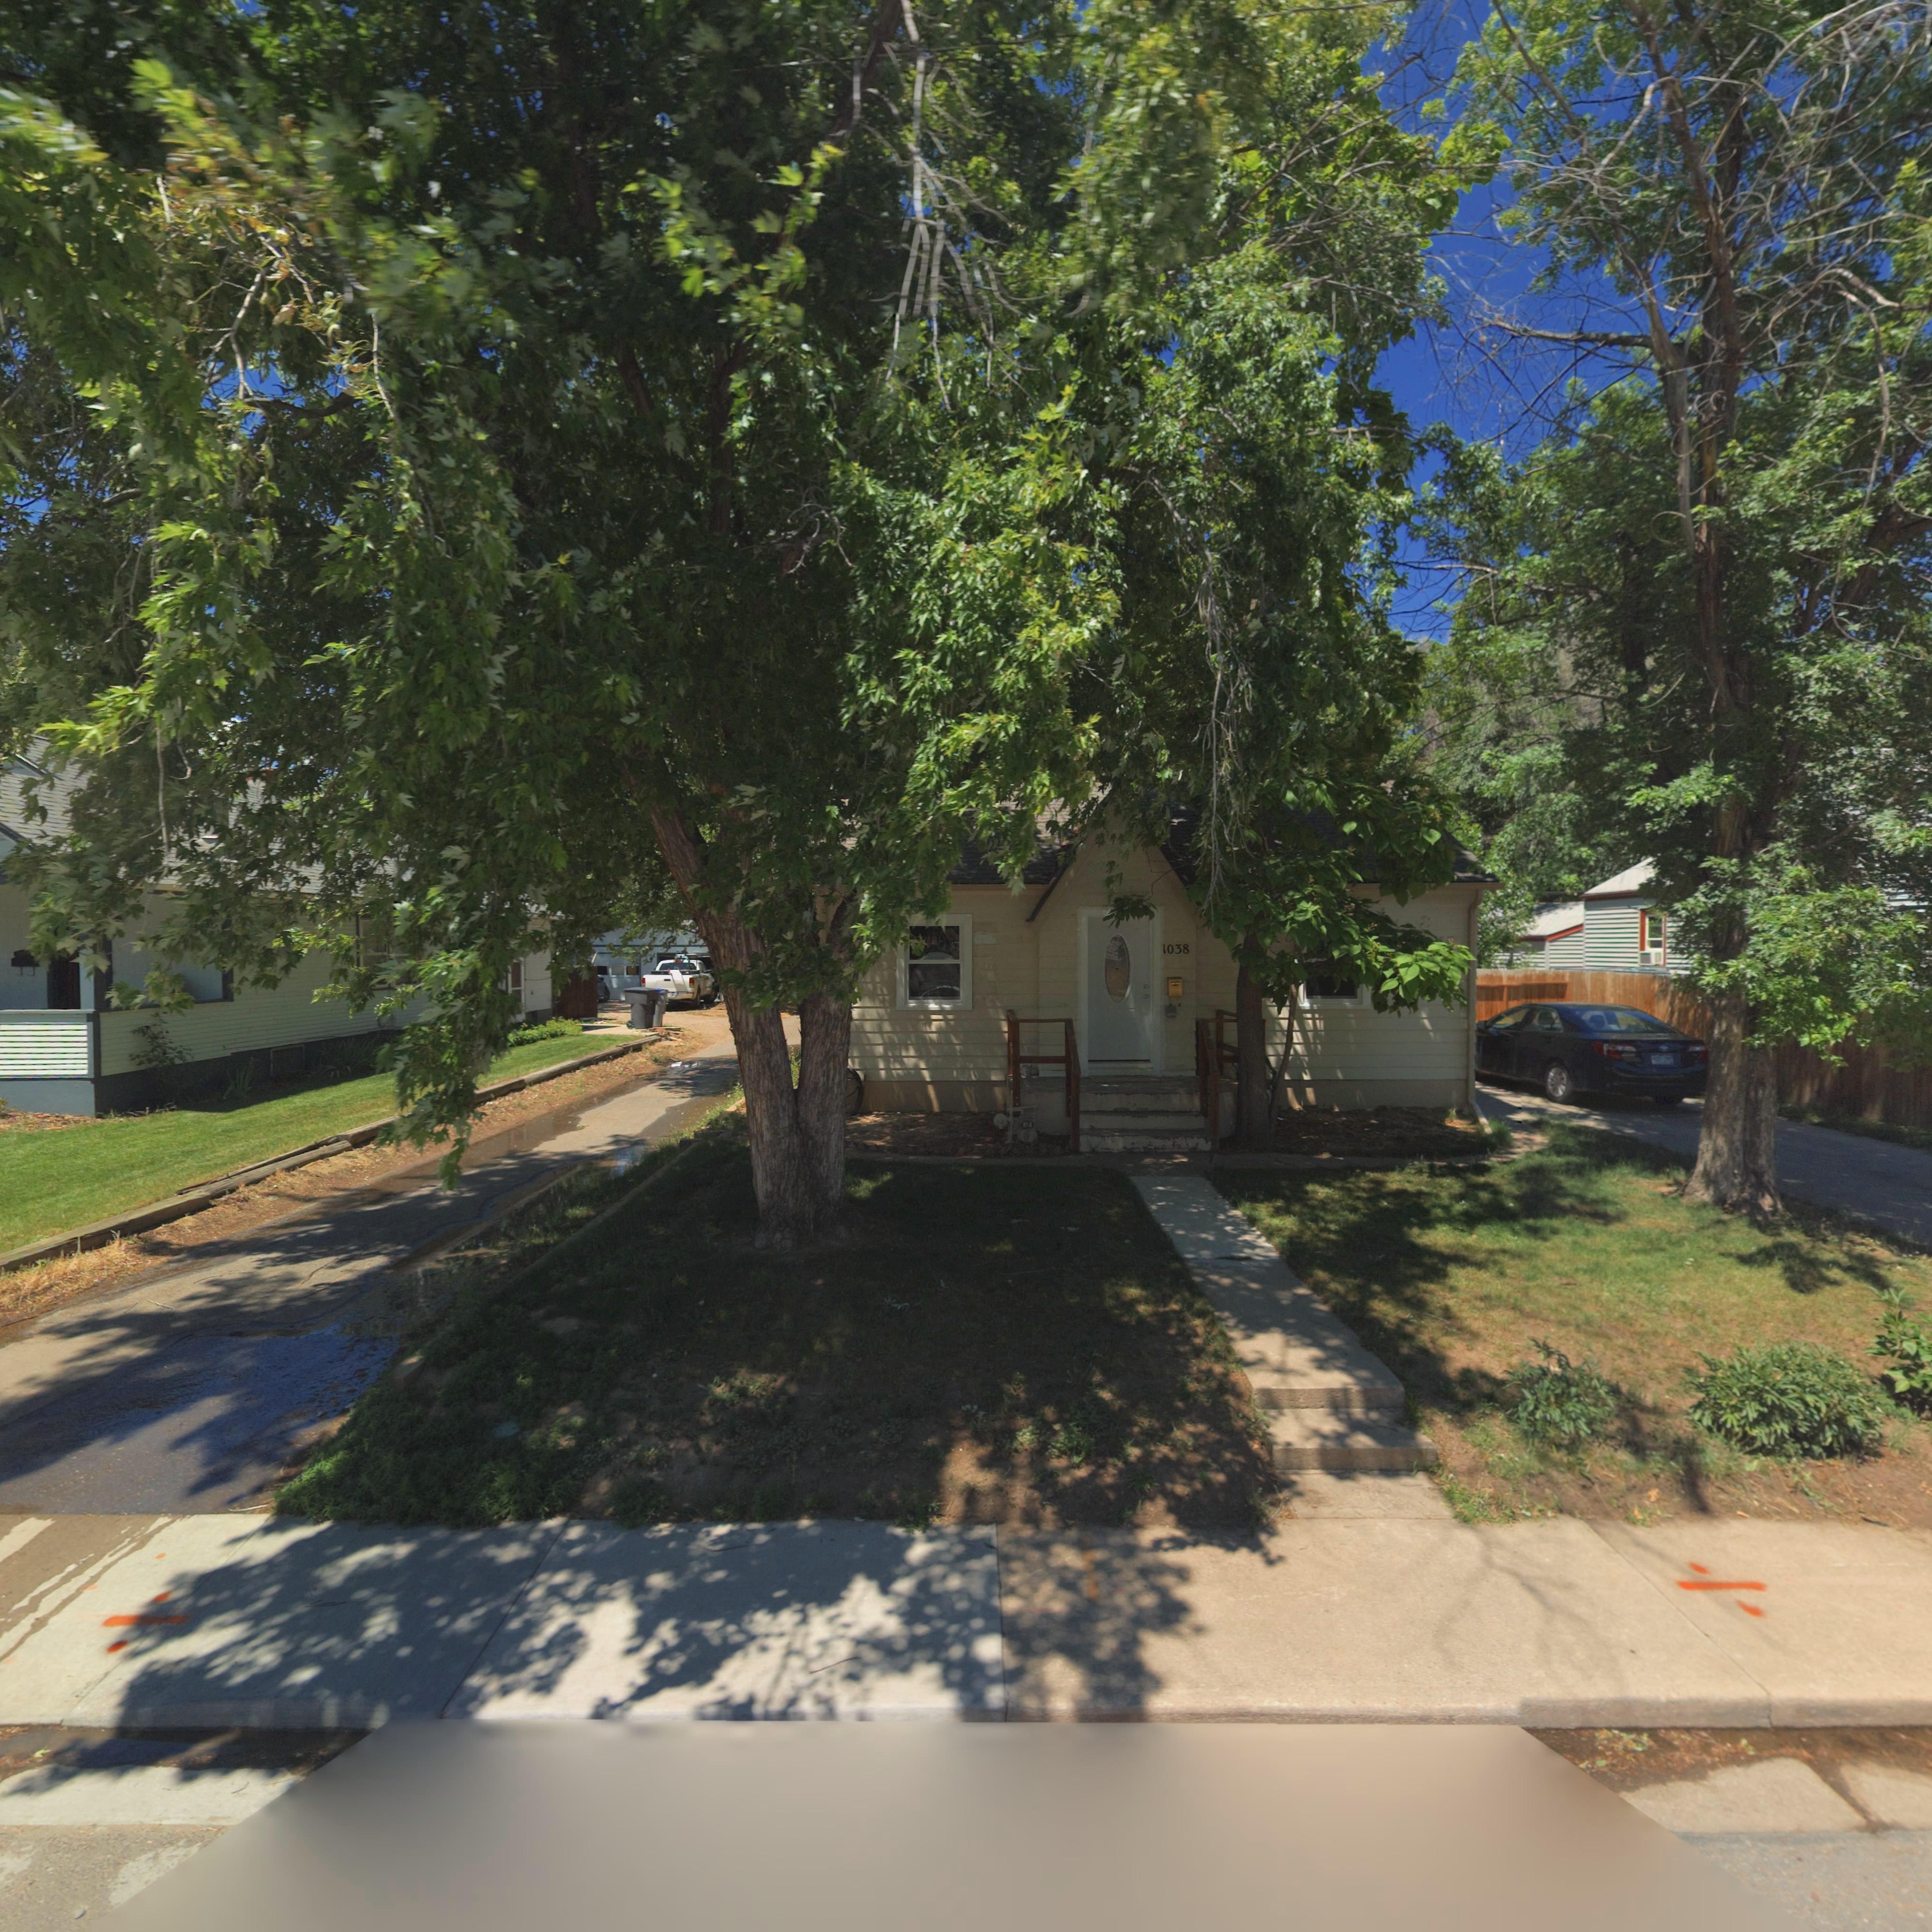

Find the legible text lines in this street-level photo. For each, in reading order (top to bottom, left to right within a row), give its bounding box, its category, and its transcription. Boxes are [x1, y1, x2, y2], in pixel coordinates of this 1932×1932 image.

[1162, 944, 1189, 954] StreetNumber: 1038